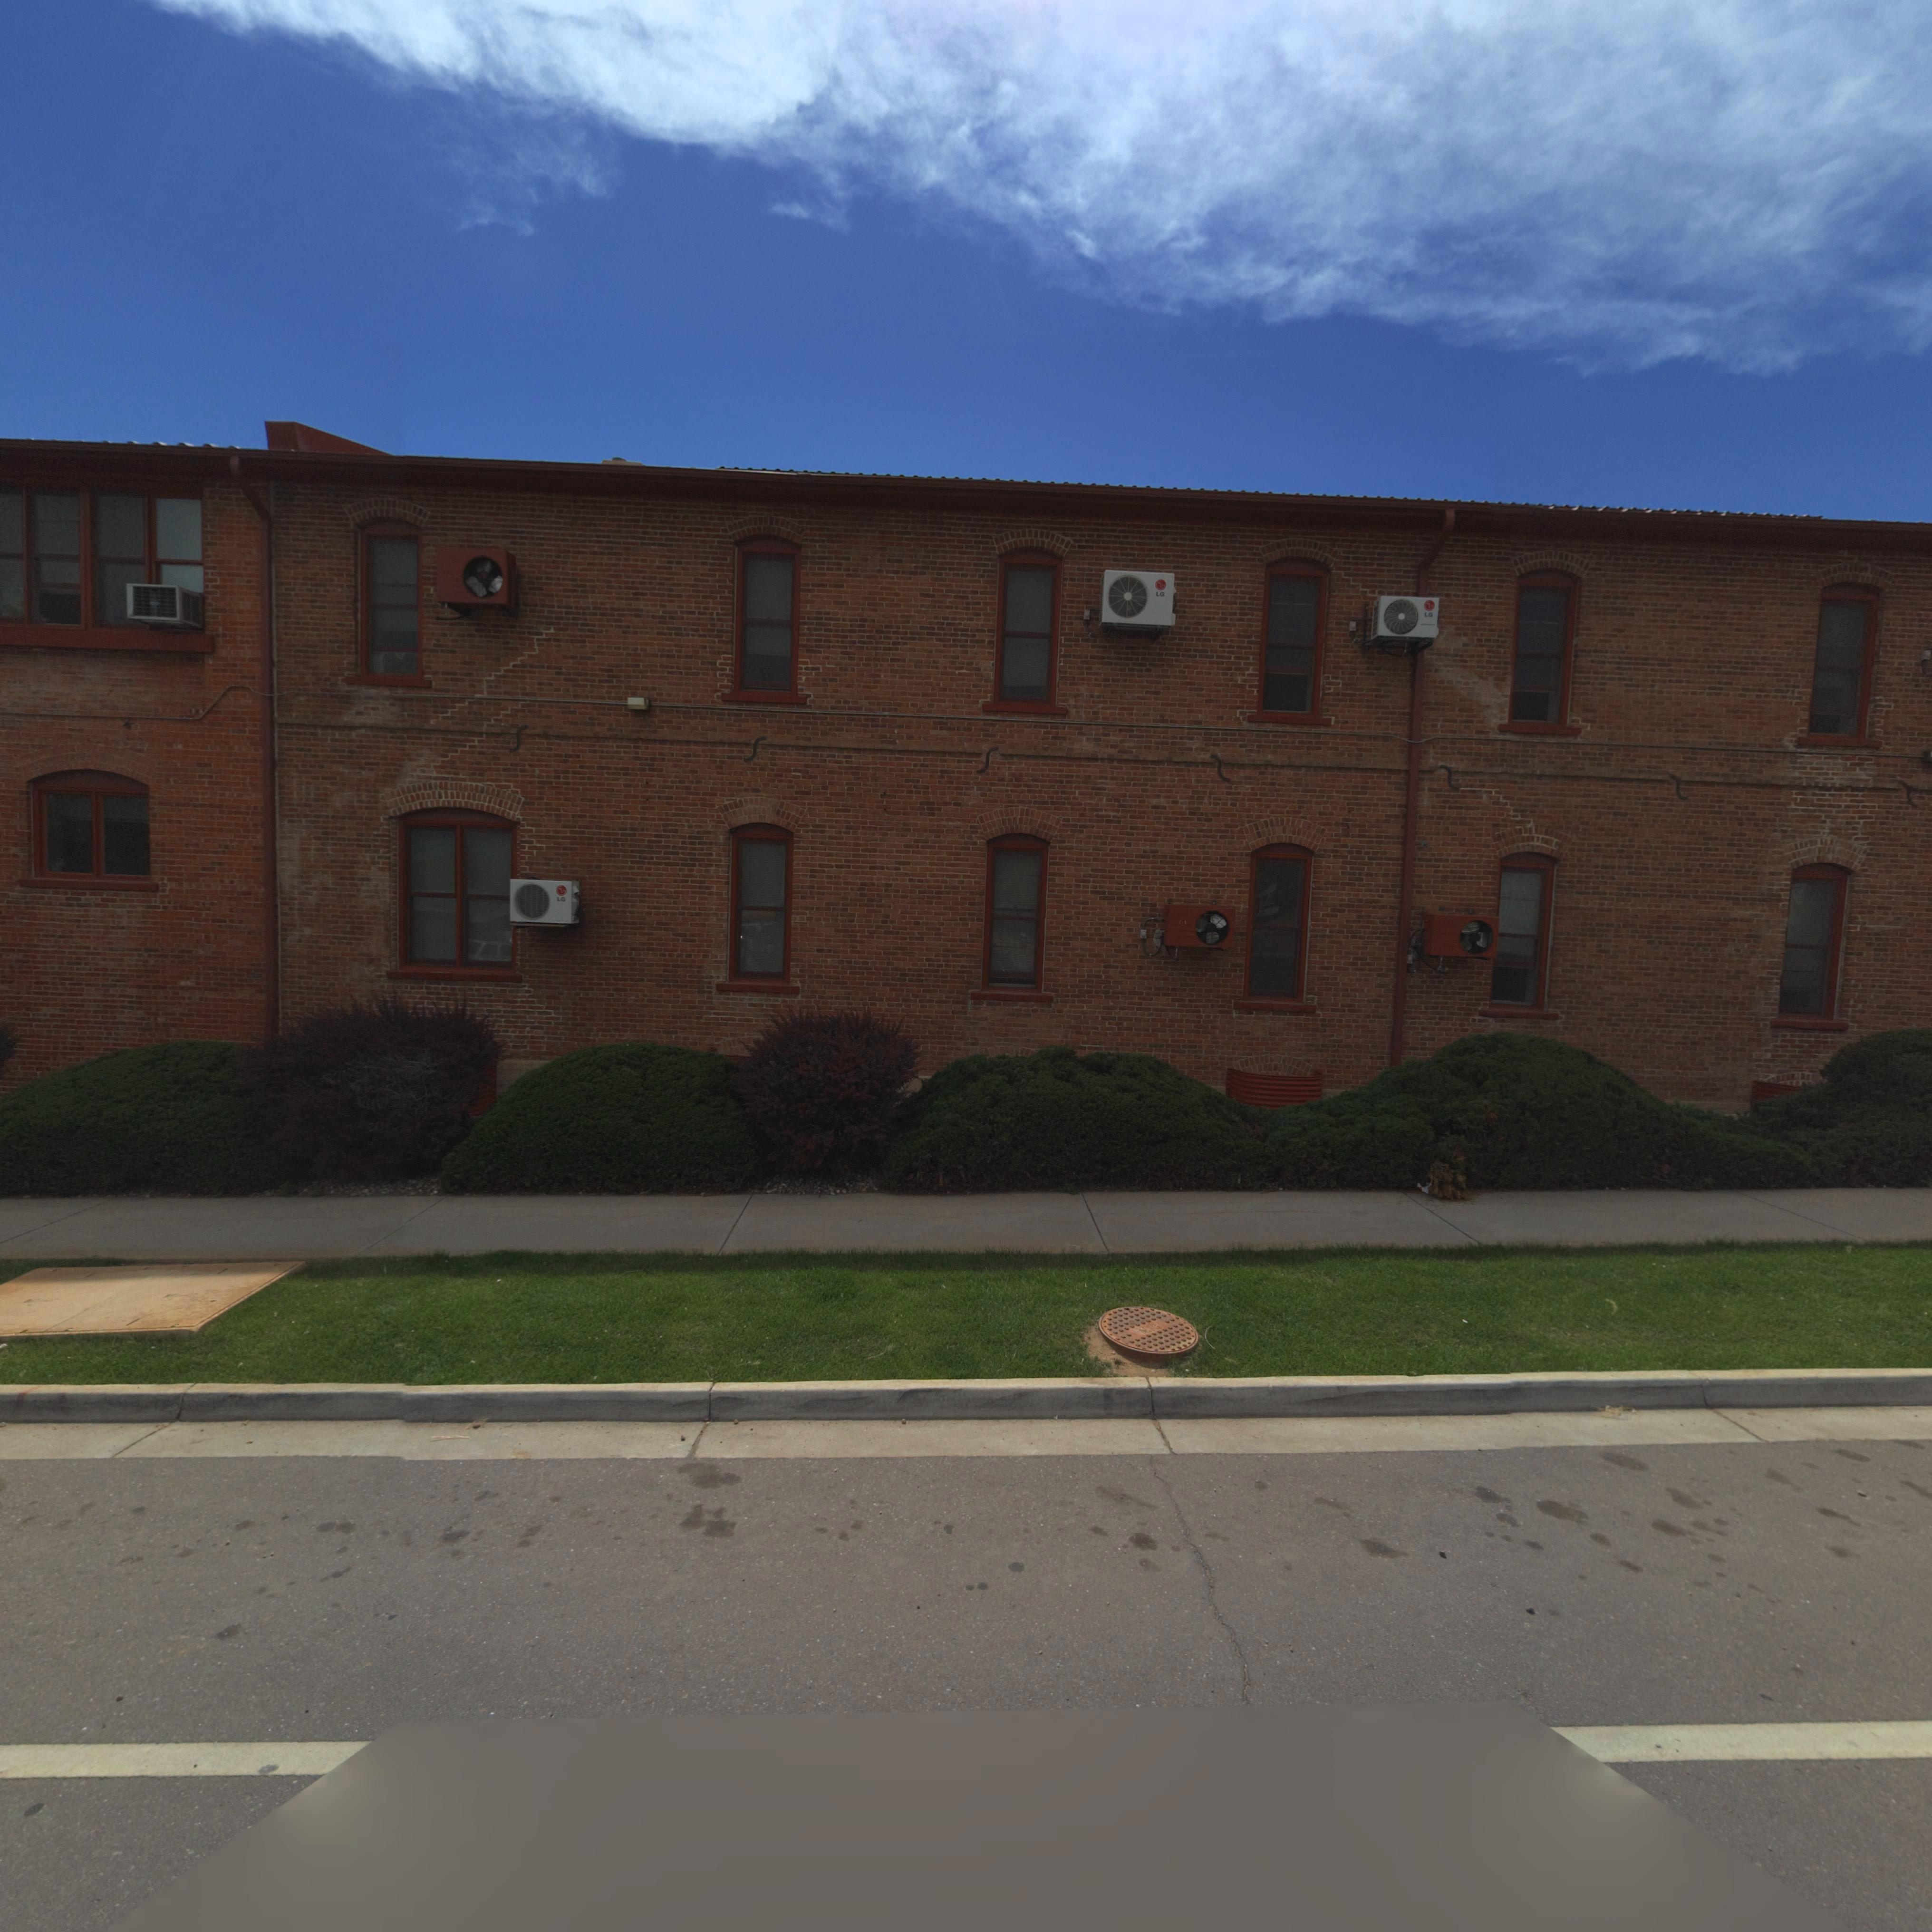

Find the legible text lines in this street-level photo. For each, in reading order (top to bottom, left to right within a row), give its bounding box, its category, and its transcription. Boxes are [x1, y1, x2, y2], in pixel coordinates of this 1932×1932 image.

[556, 896, 566, 902] None: LG